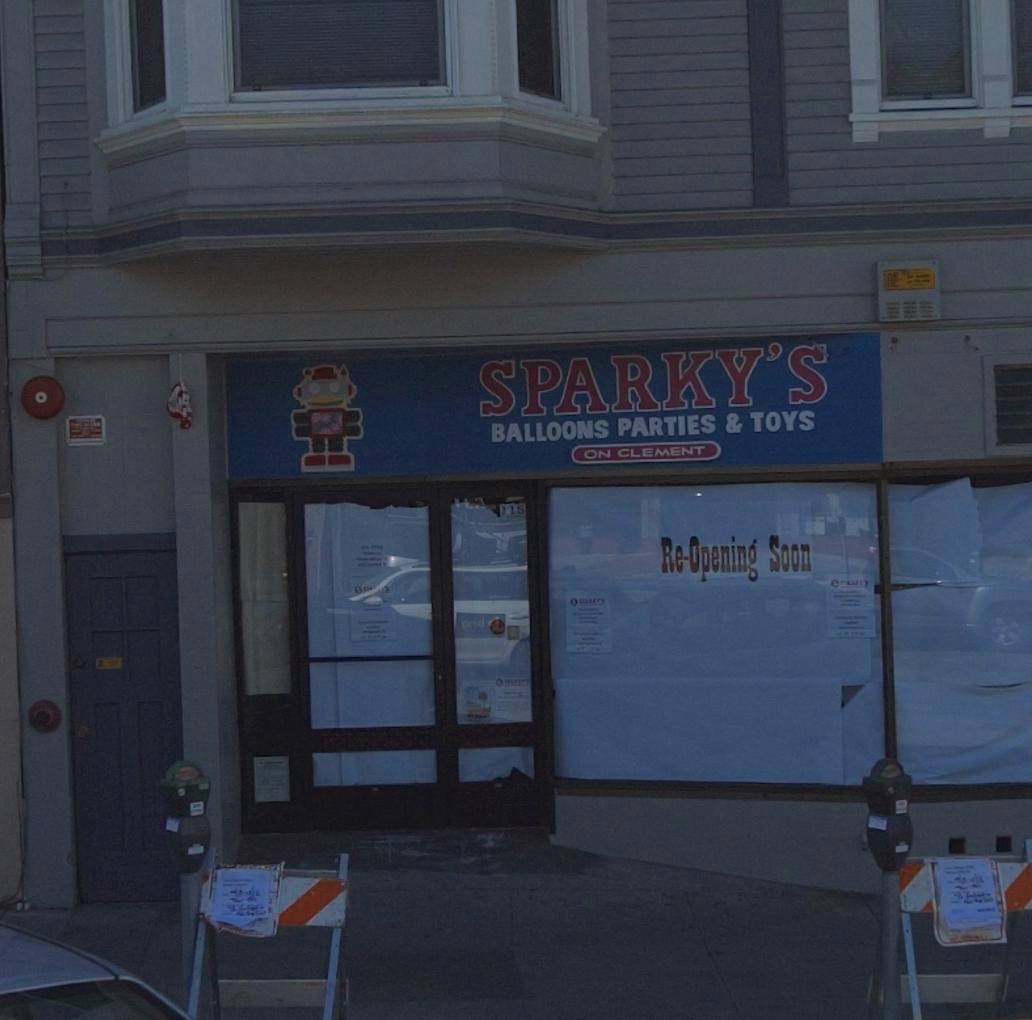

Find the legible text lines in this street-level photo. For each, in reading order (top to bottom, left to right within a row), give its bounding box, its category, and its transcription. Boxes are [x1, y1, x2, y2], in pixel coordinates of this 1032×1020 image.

[474, 340, 833, 419] BusinessName: SPARKY'S
[490, 408, 817, 444] BusinessName: BALLOONS PARTIES & TOYS
[583, 443, 706, 461] None: ON CLEMENT
[501, 503, 526, 517] StreetNumber: 118
[658, 533, 811, 582] None: Re-Opening Soon